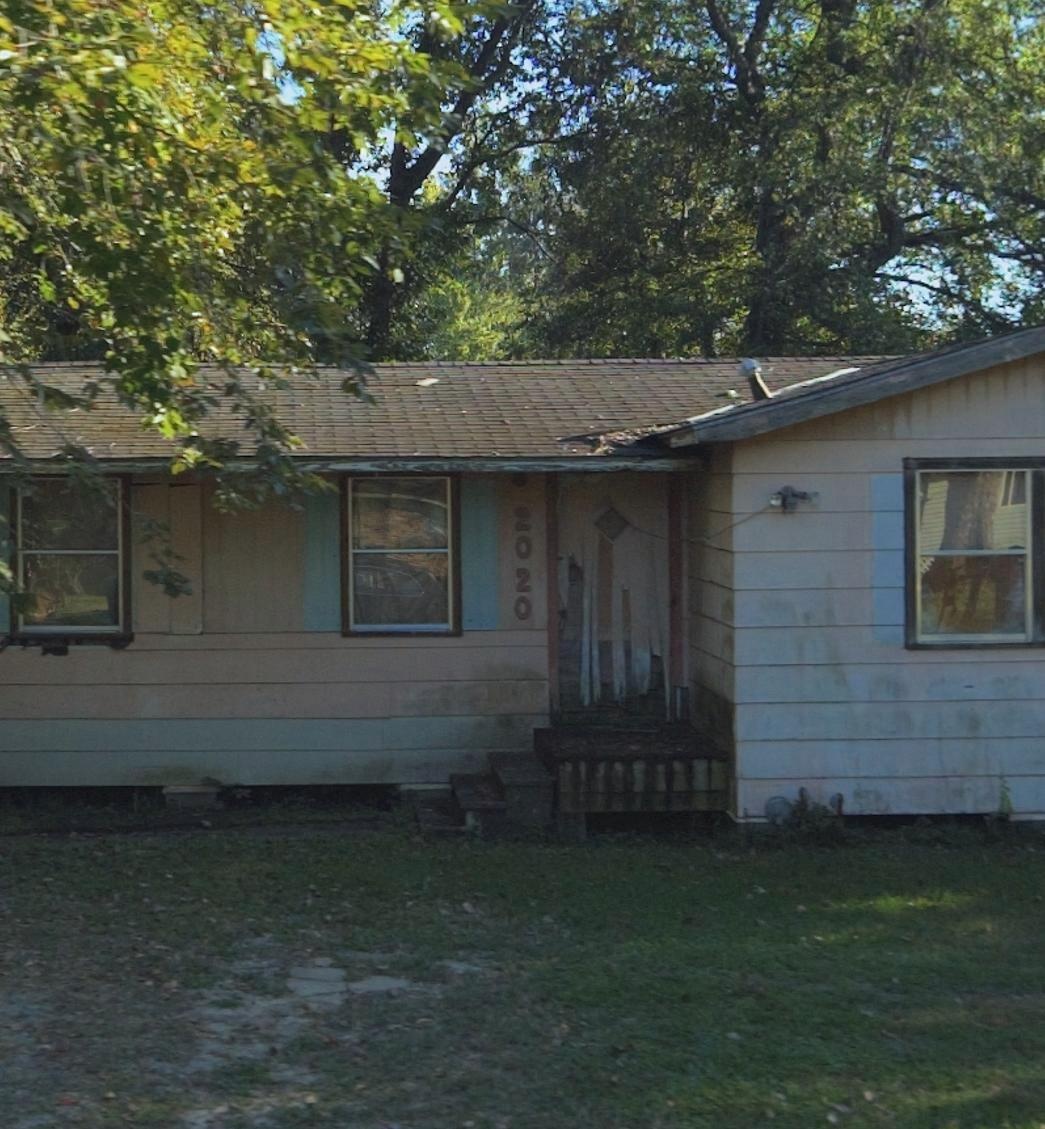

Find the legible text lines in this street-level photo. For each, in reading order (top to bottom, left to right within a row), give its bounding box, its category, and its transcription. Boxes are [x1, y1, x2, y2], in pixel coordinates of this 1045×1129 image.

[513, 505, 533, 622] StreetNumber: 2020